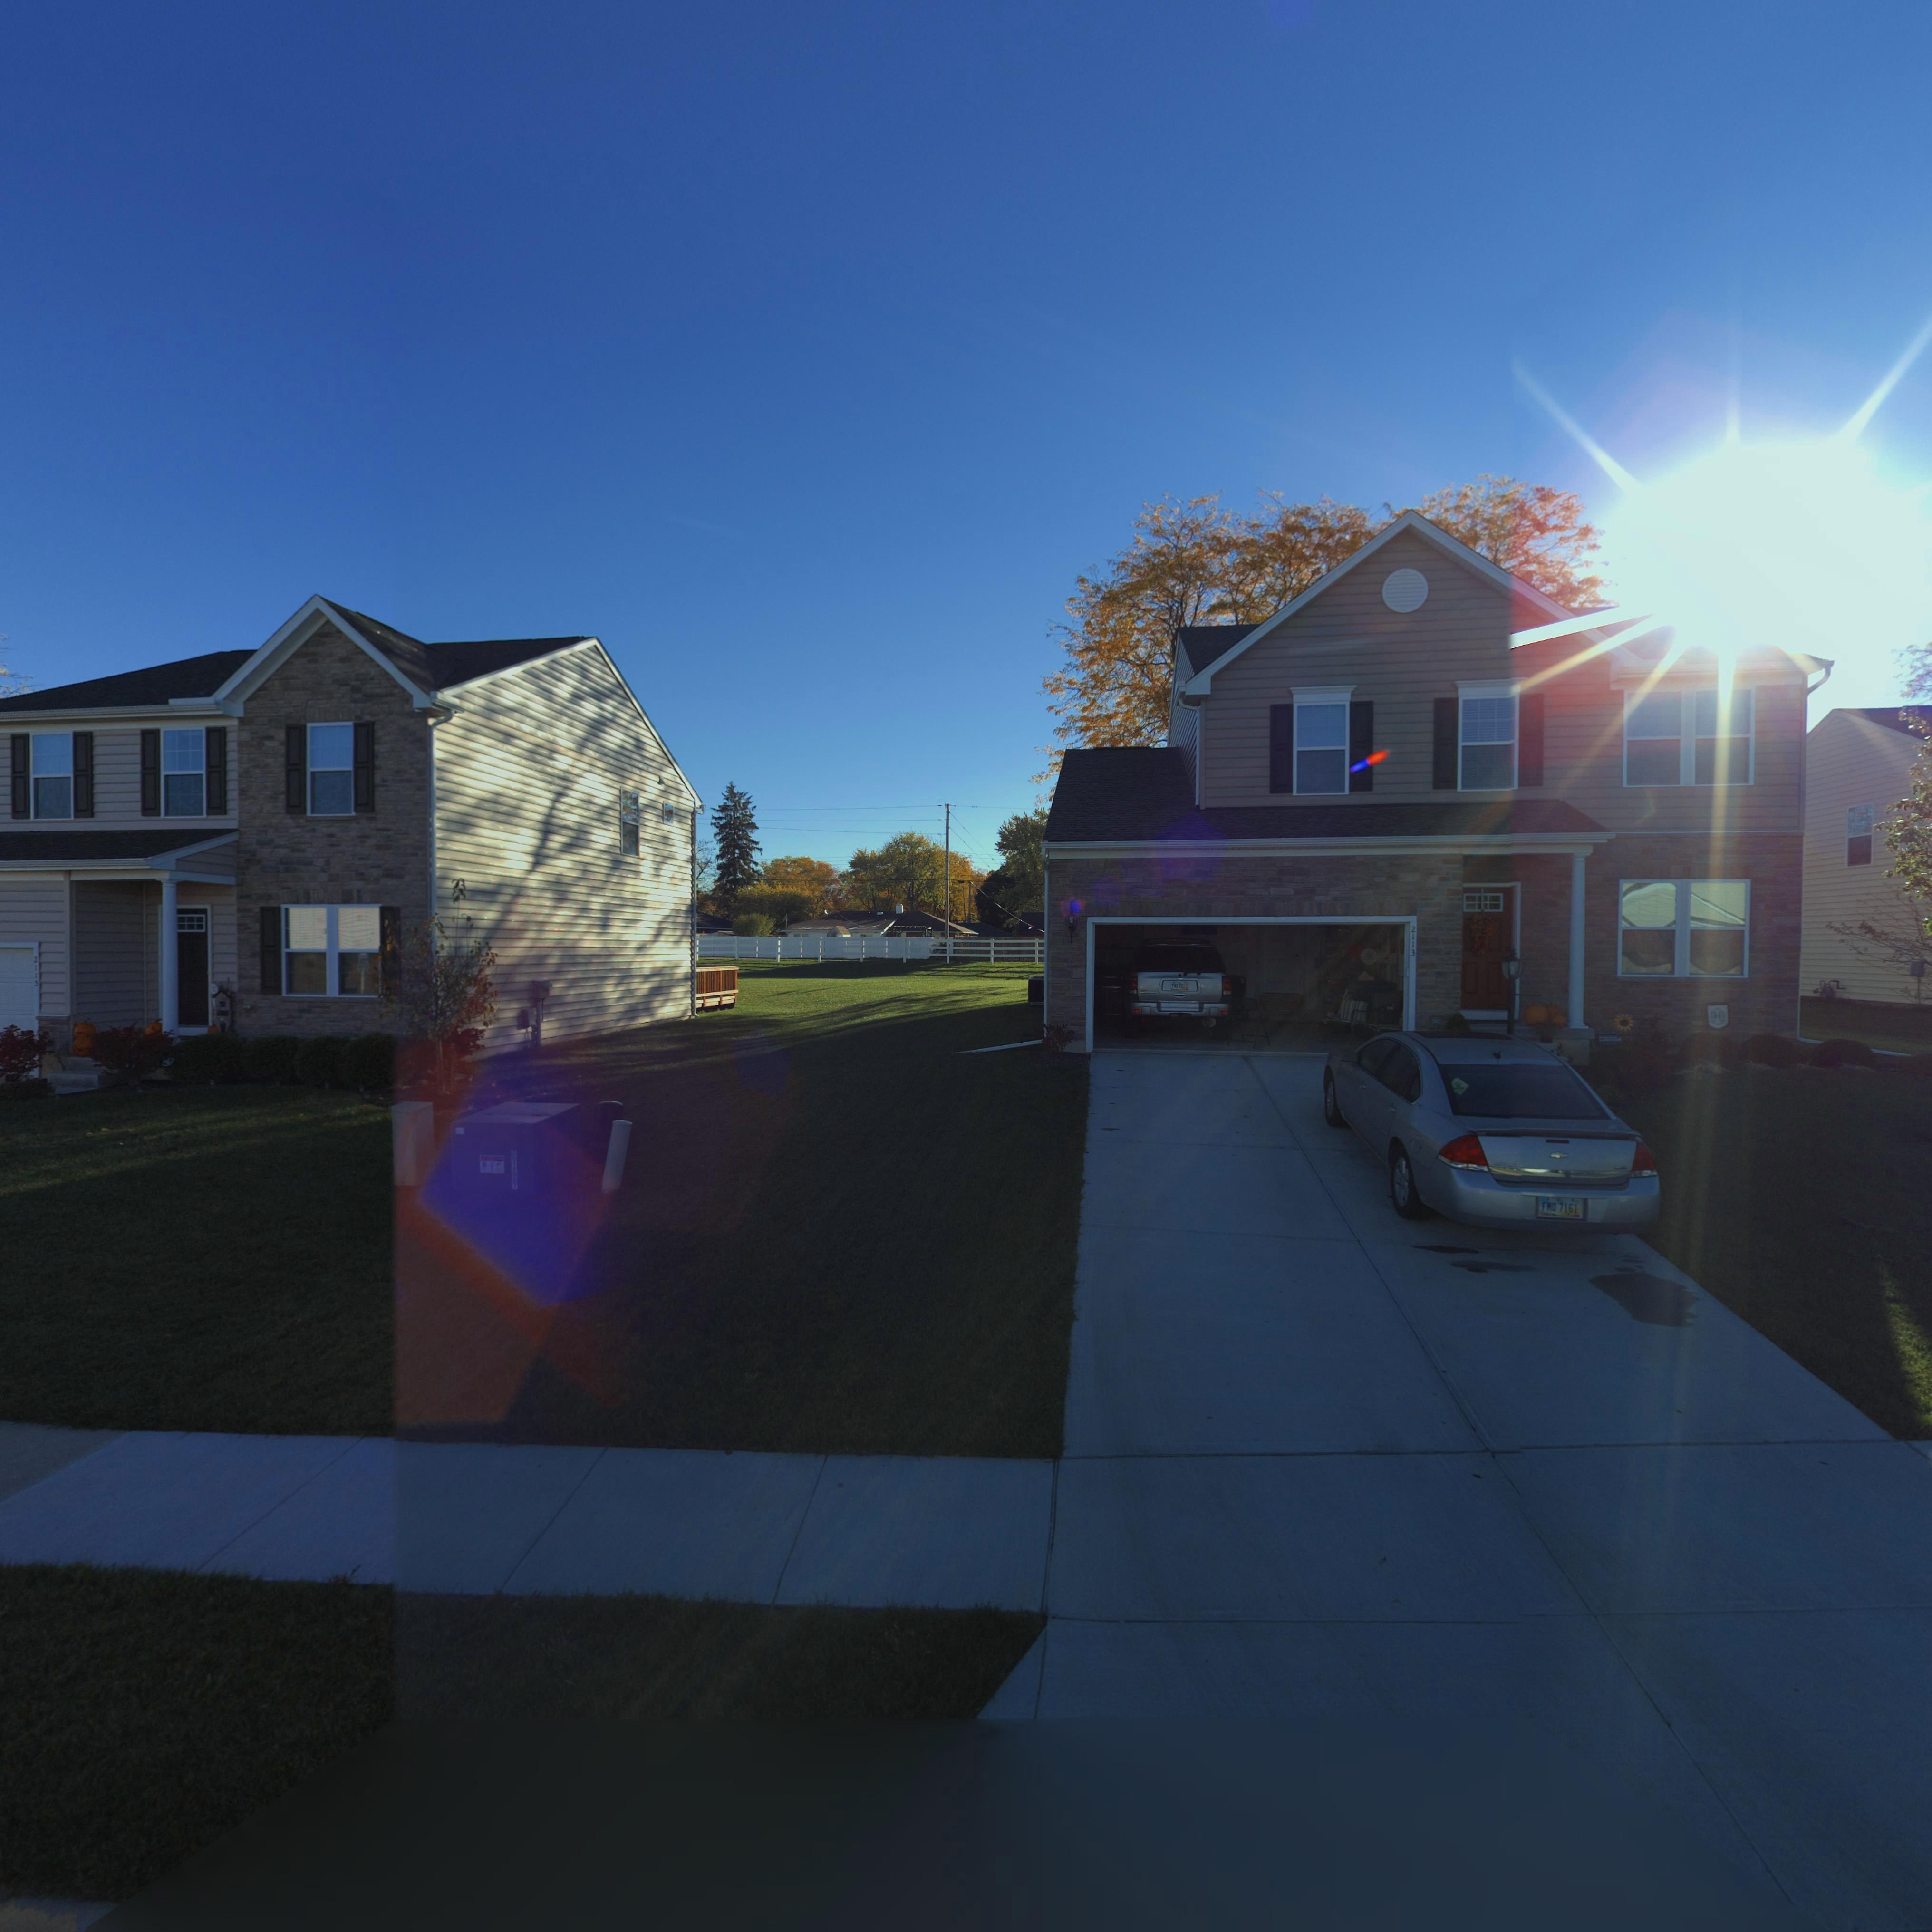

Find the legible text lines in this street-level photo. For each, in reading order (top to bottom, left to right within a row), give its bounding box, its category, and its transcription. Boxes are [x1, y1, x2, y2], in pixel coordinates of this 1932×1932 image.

[1410, 925, 1416, 957] StreetNumber: 2113
[33, 956, 39, 988] StreetNumber: 2115